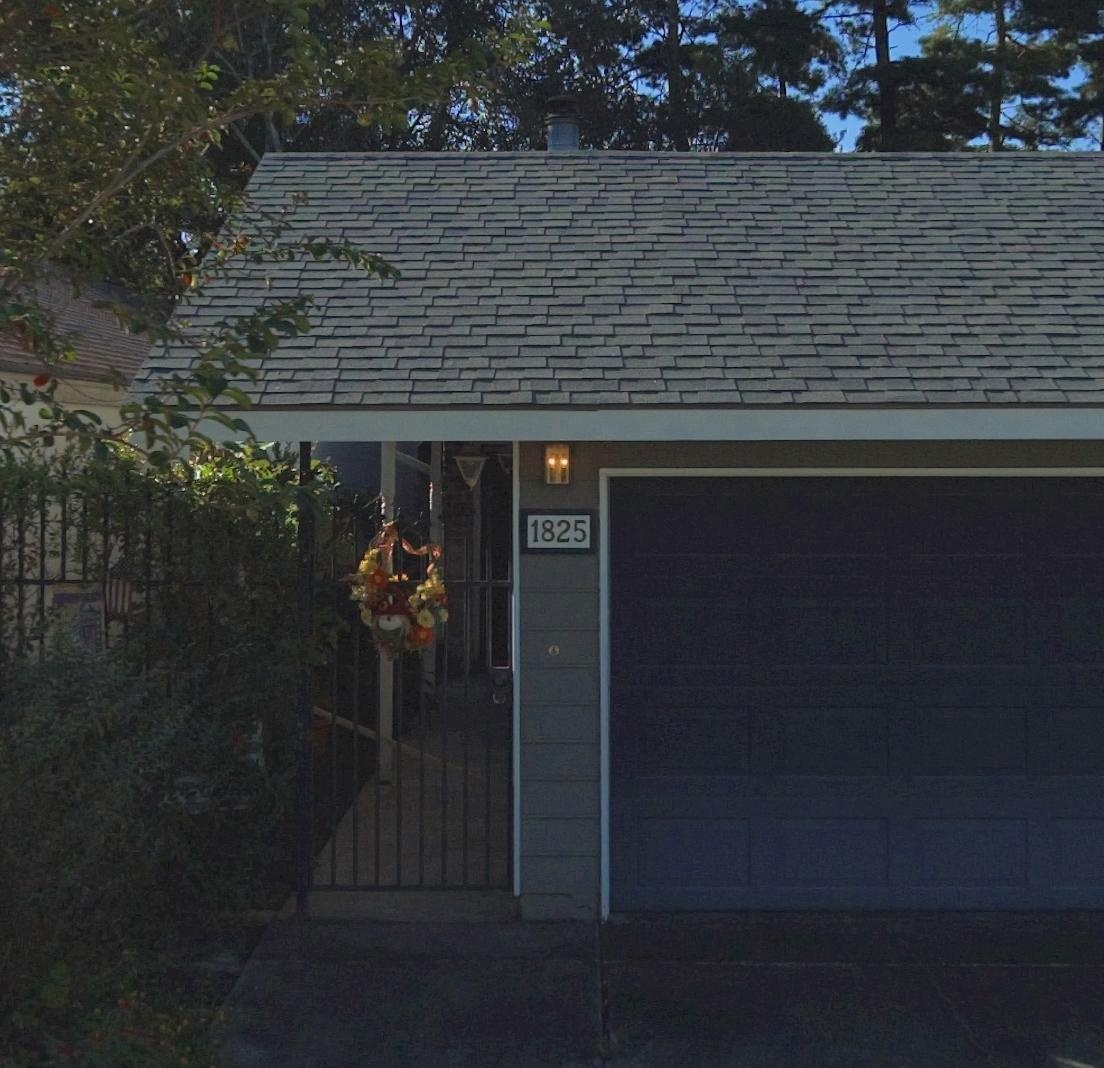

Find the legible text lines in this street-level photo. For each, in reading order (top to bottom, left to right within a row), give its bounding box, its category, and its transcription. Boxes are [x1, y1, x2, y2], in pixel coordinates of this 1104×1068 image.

[526, 516, 590, 546] StreetNumber: 1825